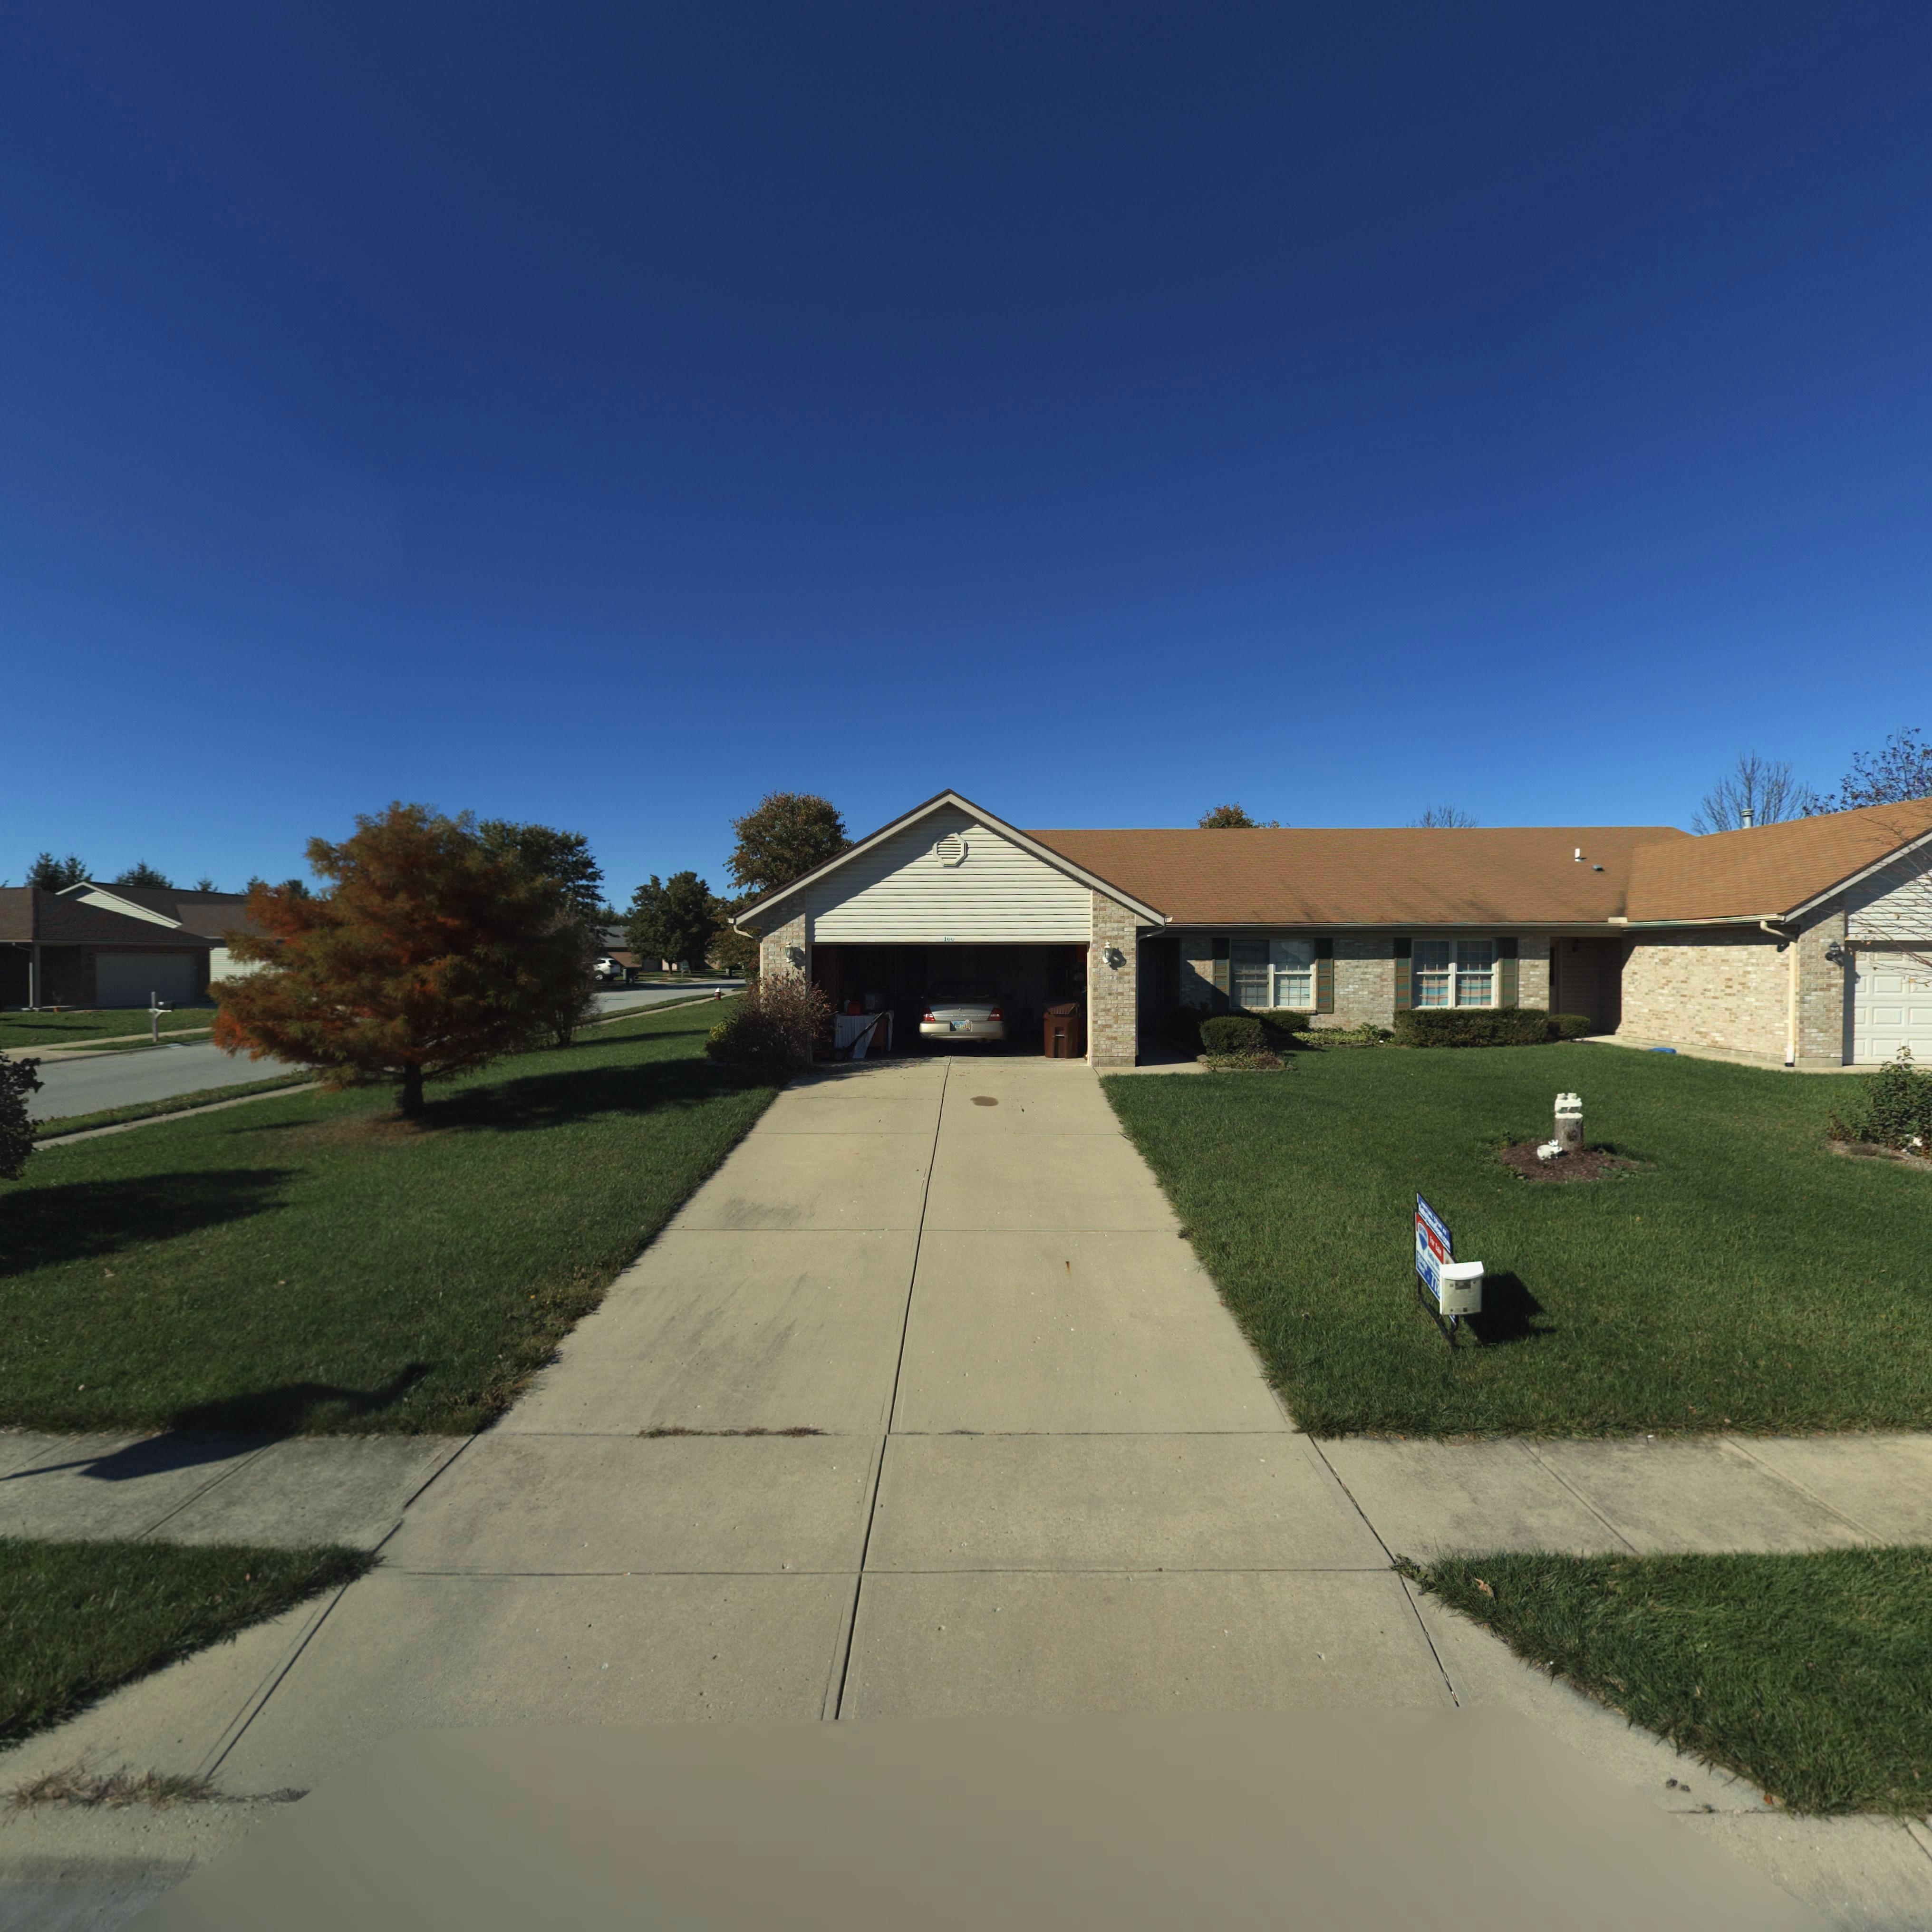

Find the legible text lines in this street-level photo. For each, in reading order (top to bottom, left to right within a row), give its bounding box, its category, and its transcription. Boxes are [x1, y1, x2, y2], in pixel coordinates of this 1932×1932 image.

[944, 936, 955, 942] StreetNumber: 100